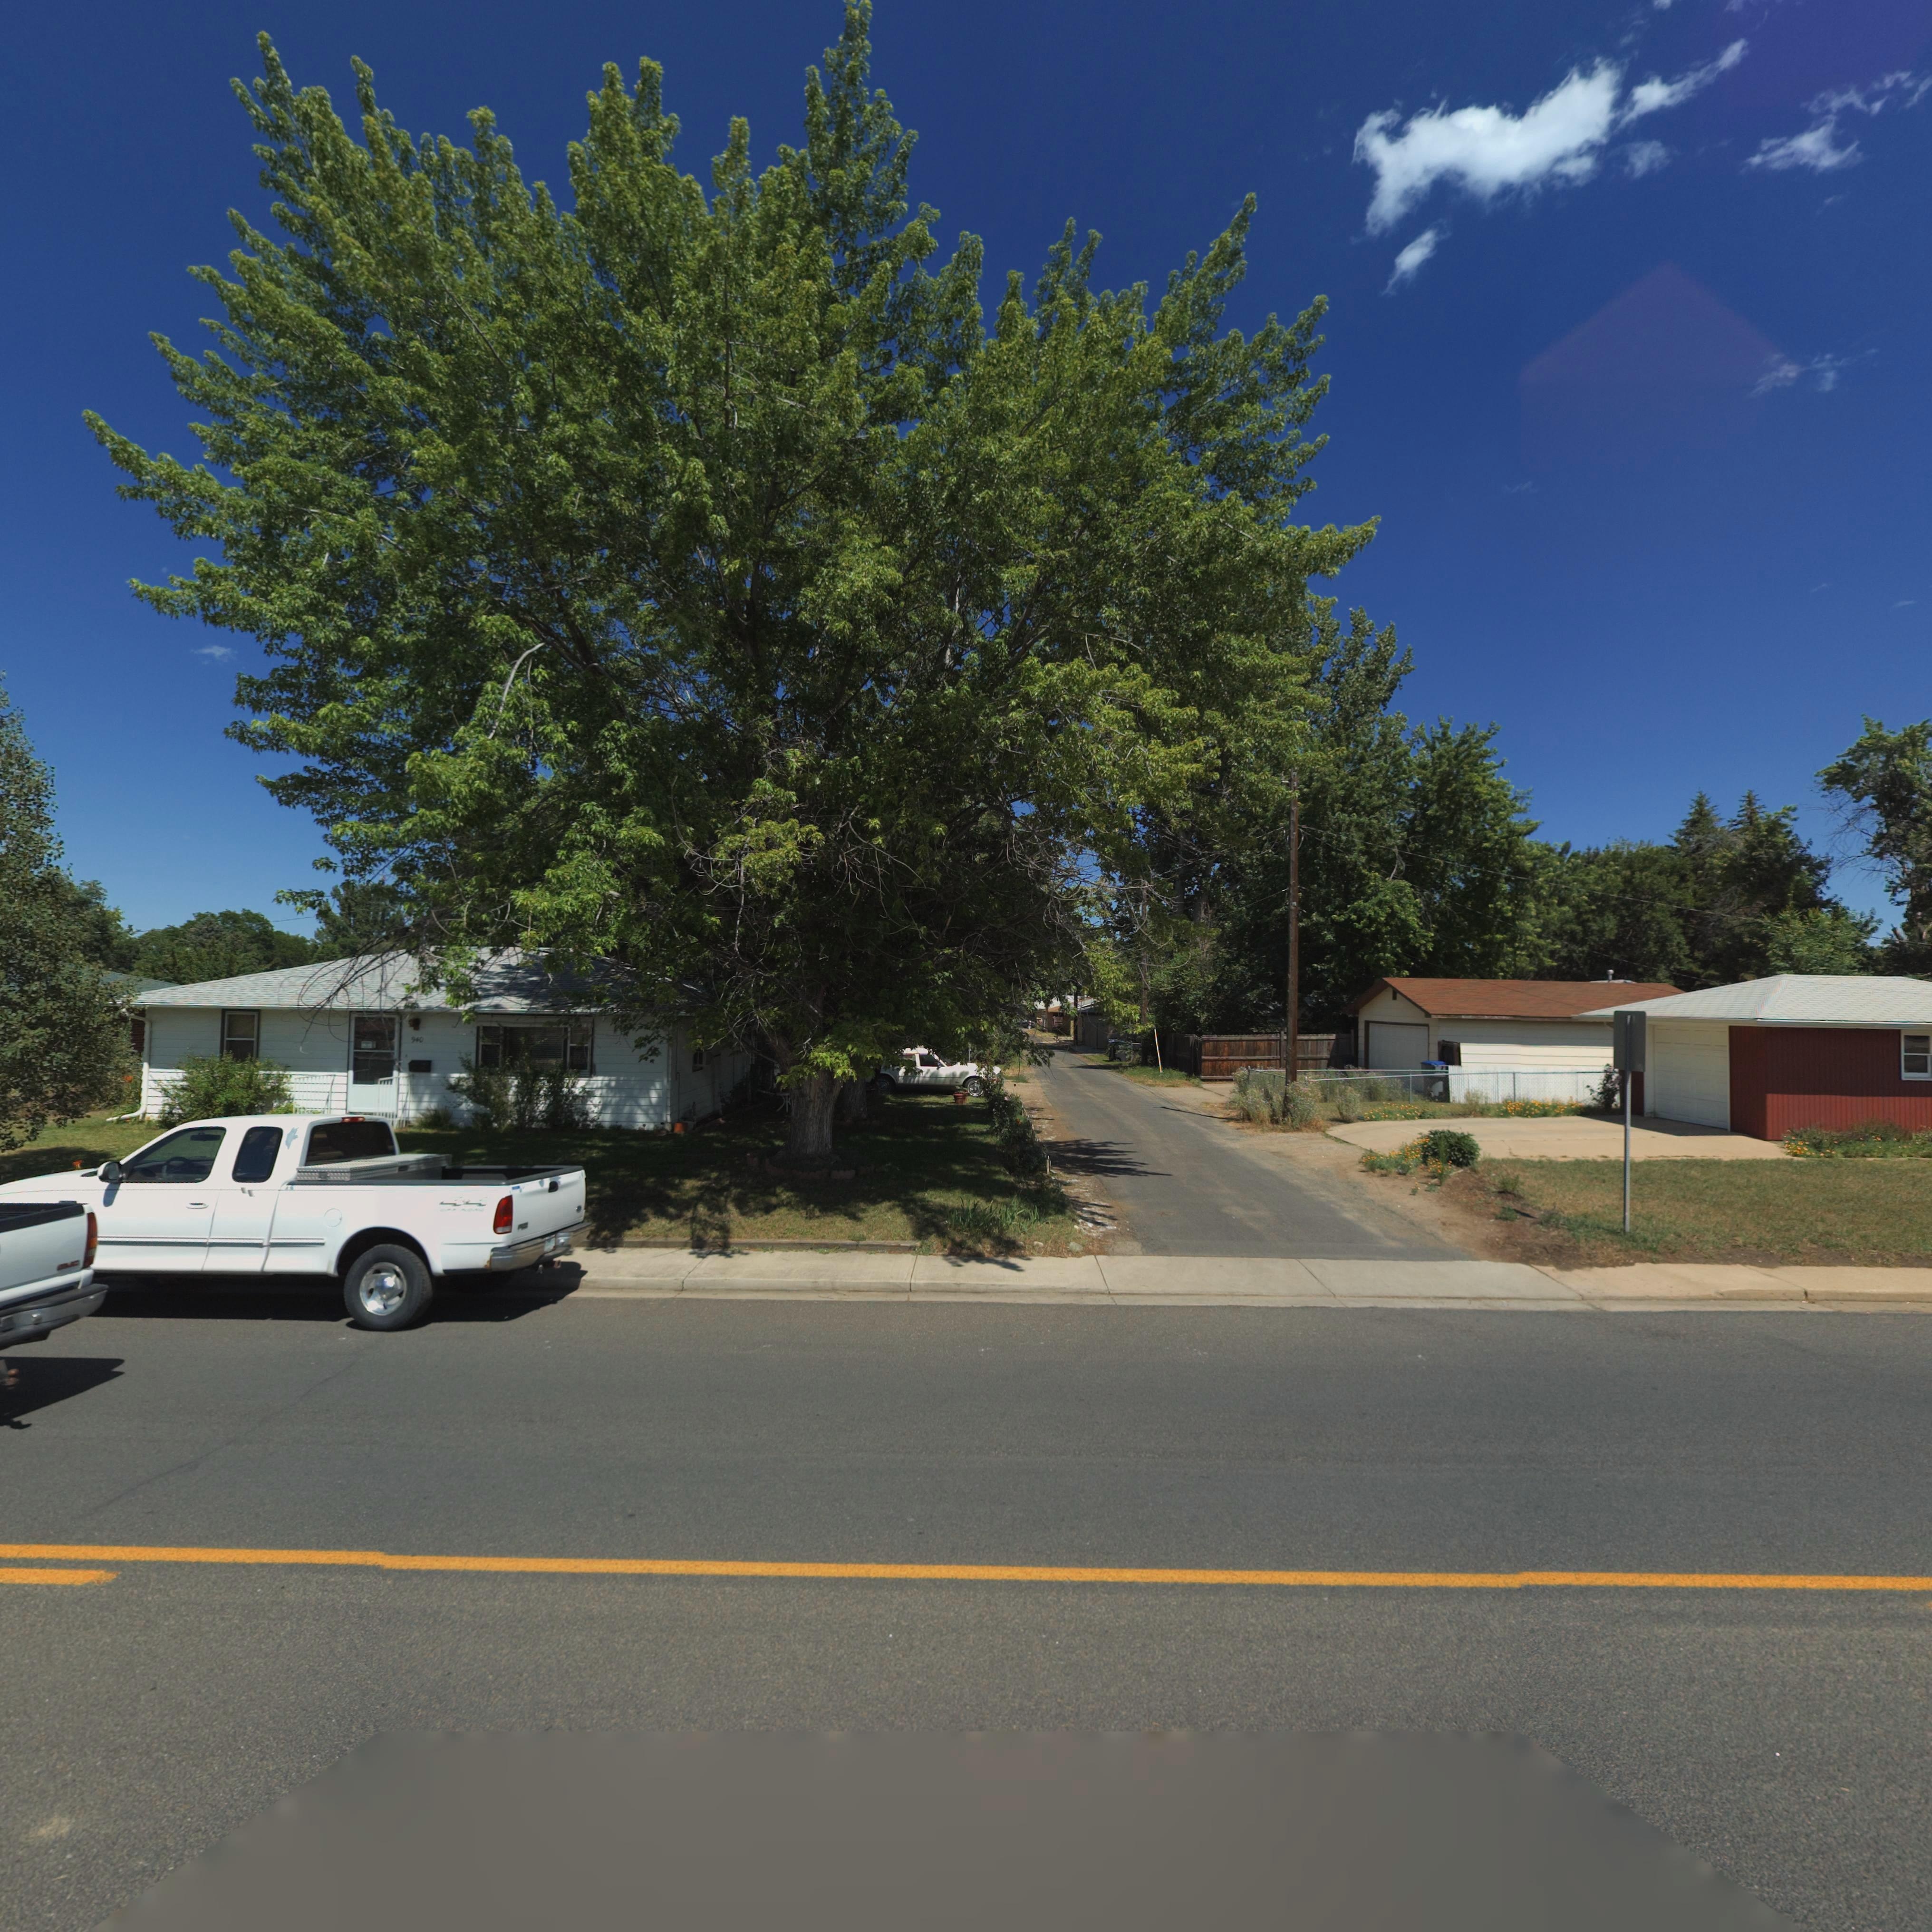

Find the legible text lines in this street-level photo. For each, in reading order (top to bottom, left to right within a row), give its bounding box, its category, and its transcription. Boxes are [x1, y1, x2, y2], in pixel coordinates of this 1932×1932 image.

[410, 1035, 425, 1043] StreetNumber: 940